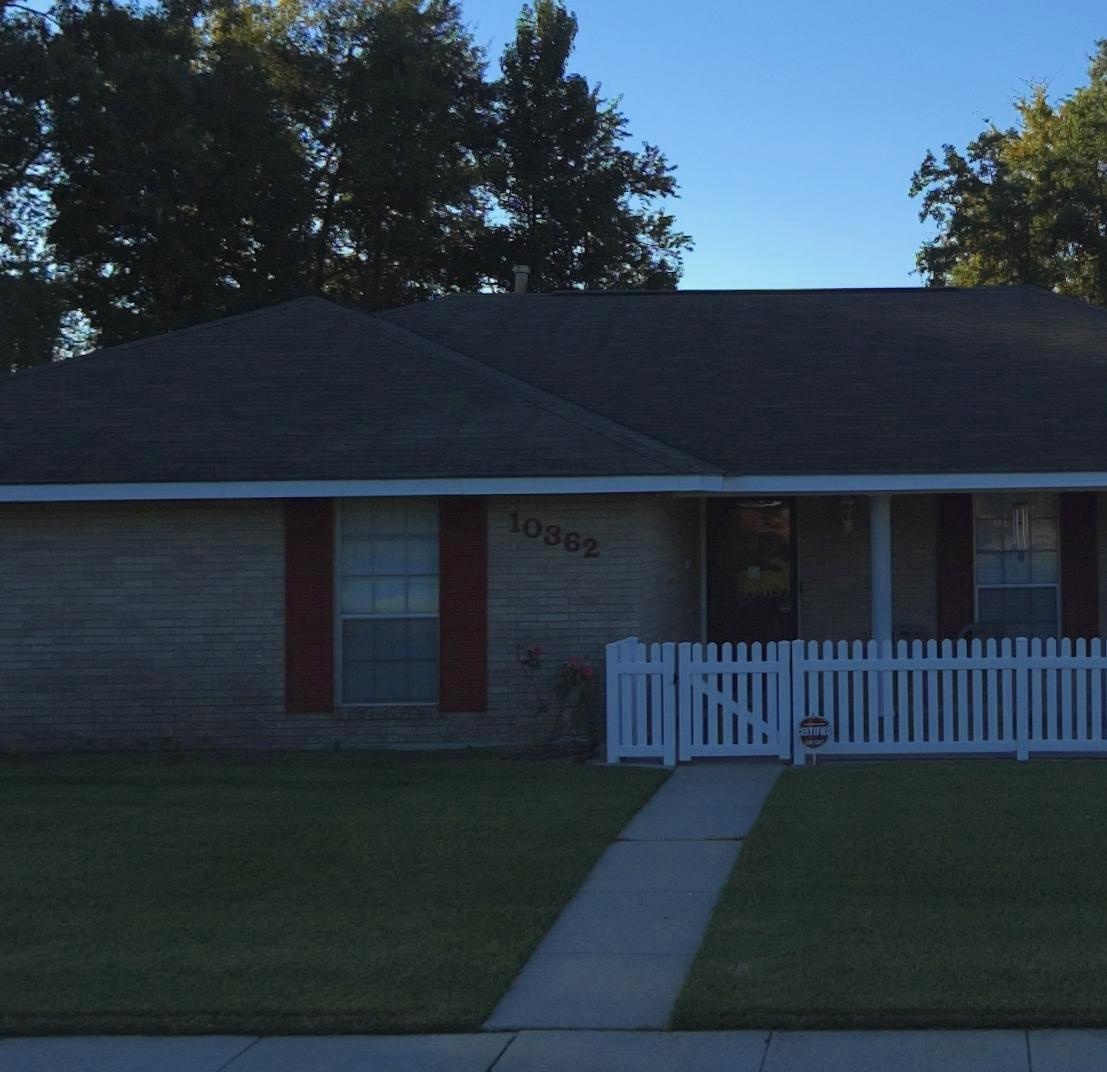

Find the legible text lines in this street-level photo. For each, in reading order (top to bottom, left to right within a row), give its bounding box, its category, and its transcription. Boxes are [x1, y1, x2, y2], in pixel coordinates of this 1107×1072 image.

[507, 511, 604, 560] StreetNumber: 10362